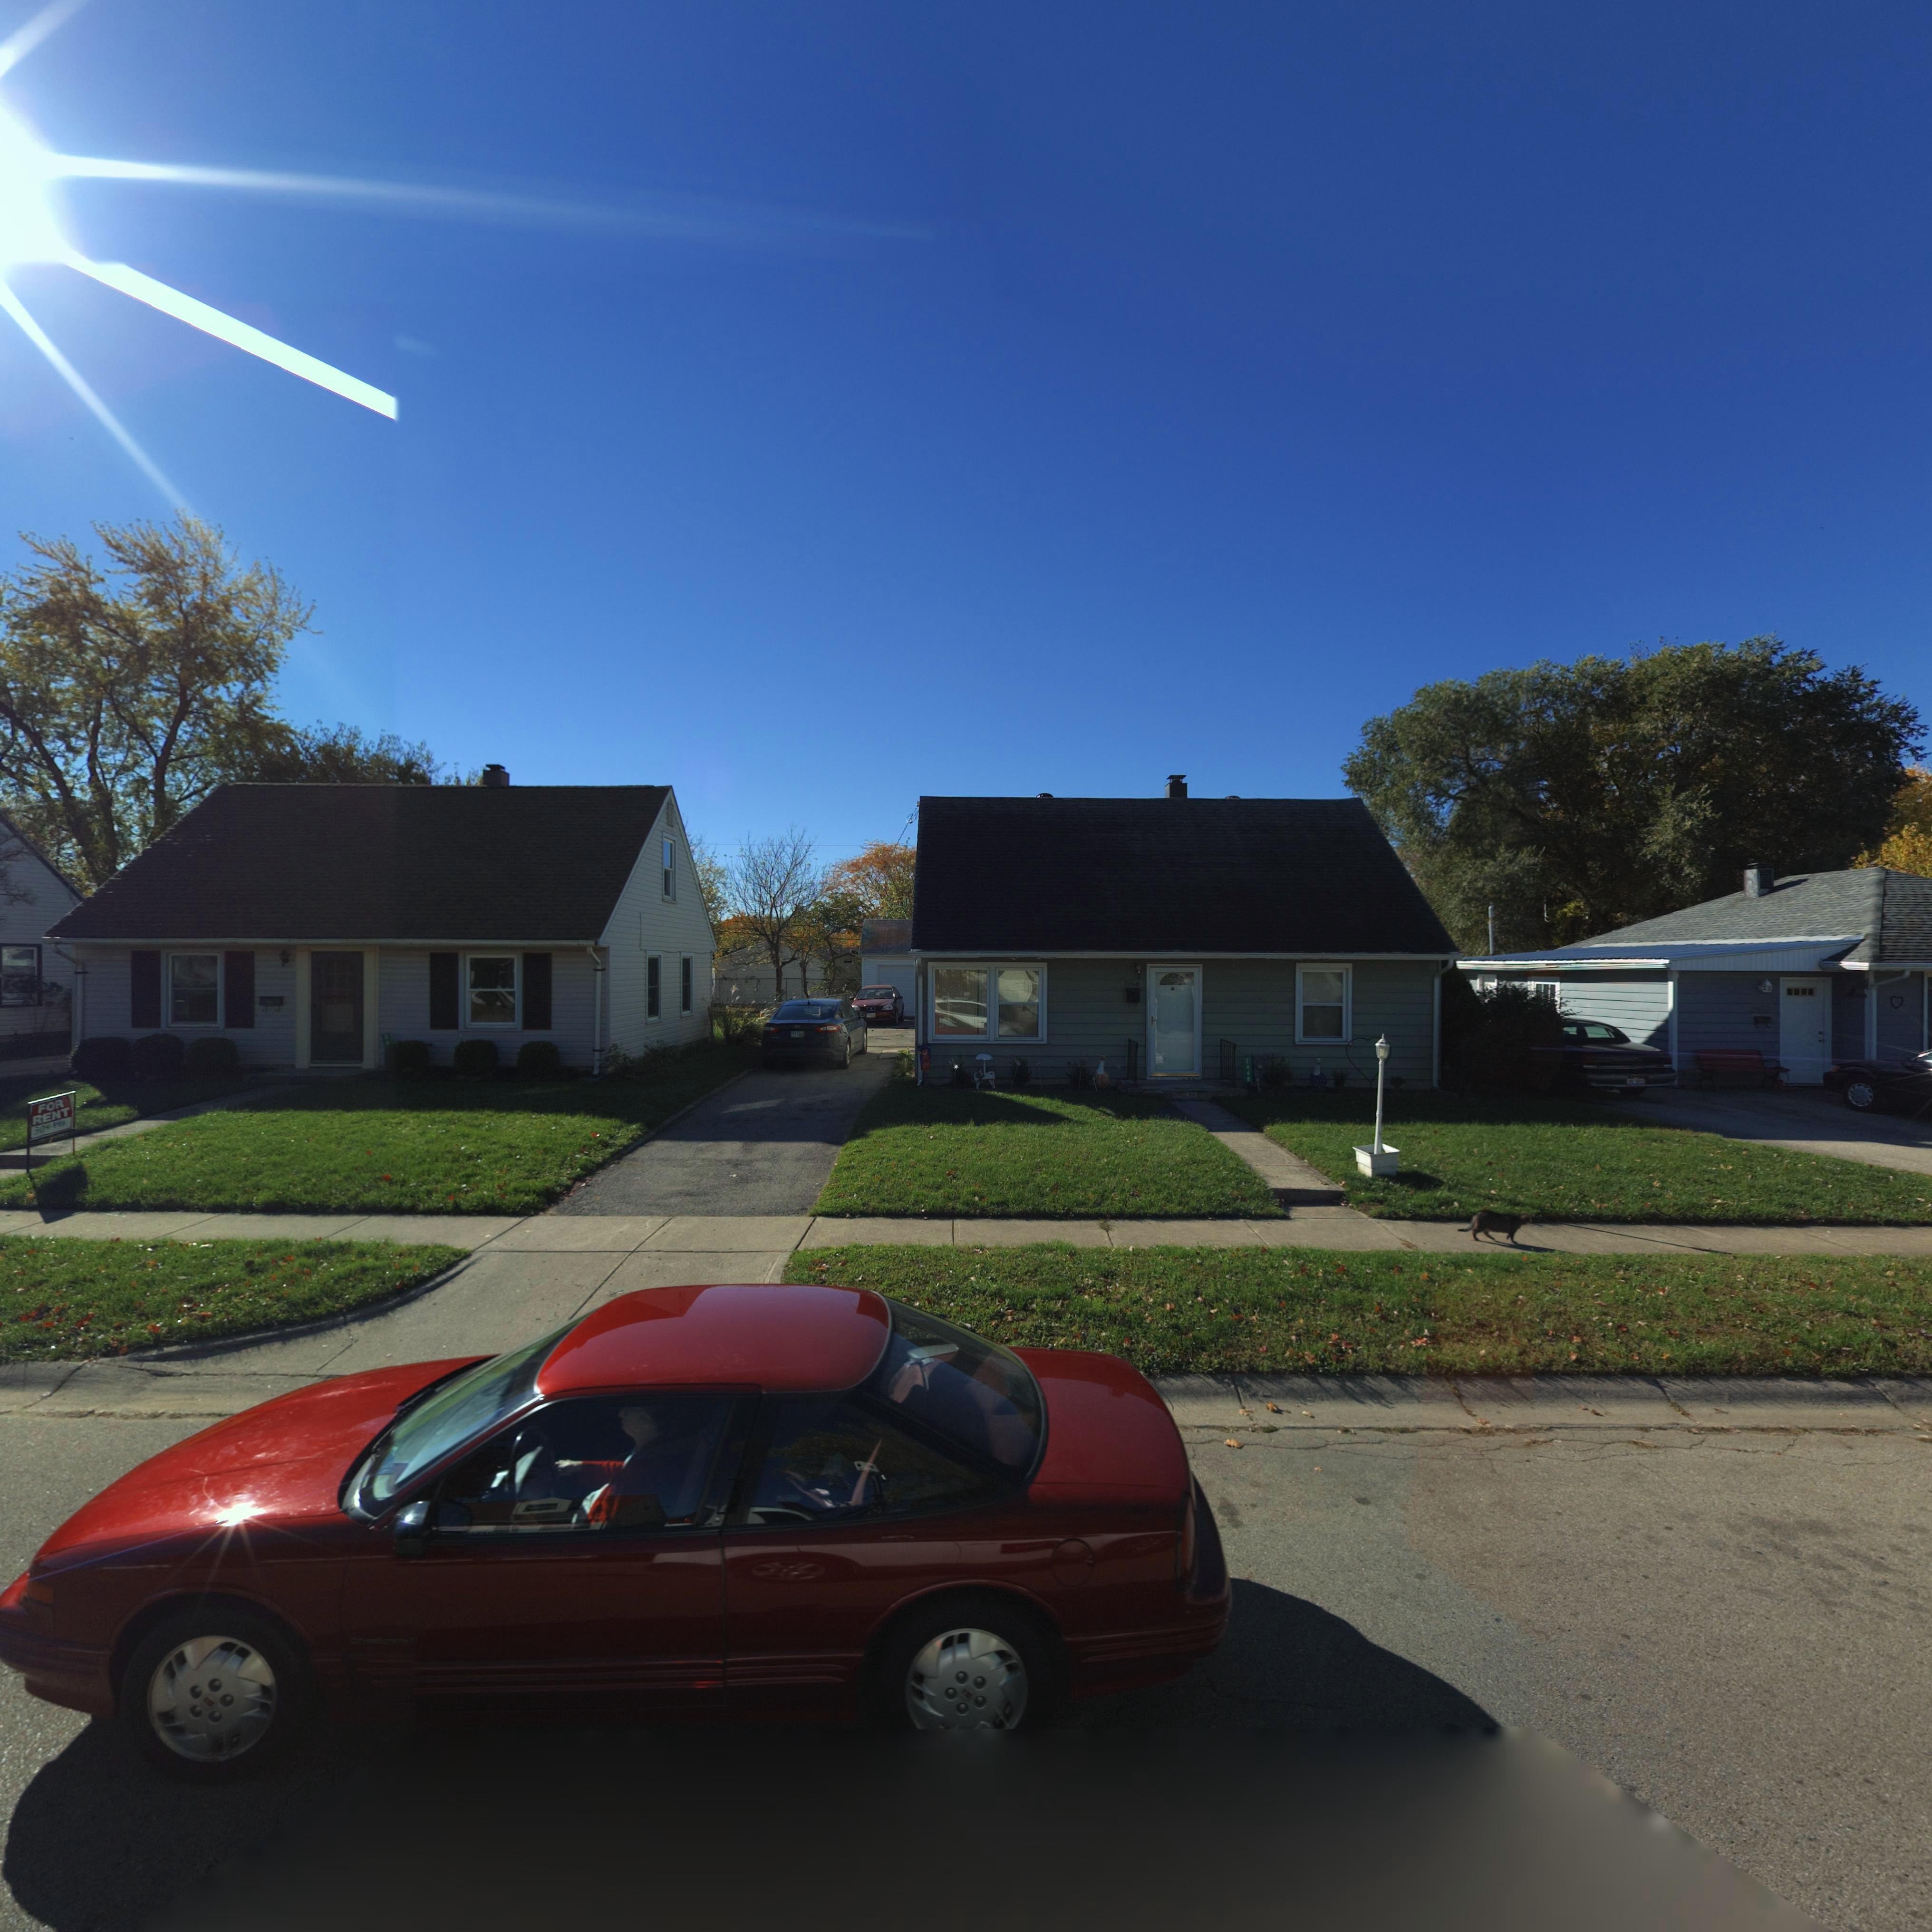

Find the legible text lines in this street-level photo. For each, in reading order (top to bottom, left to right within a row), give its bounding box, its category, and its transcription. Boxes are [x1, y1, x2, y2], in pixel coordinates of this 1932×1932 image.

[1123, 980, 1140, 987] StreetNumber: 2448
[1750, 1005, 1772, 1014] StreetNumber: 2*52
[383, 1033, 390, 1046] StreetNumber: 24
[1245, 1058, 1251, 1082] StreetNumber: 2448